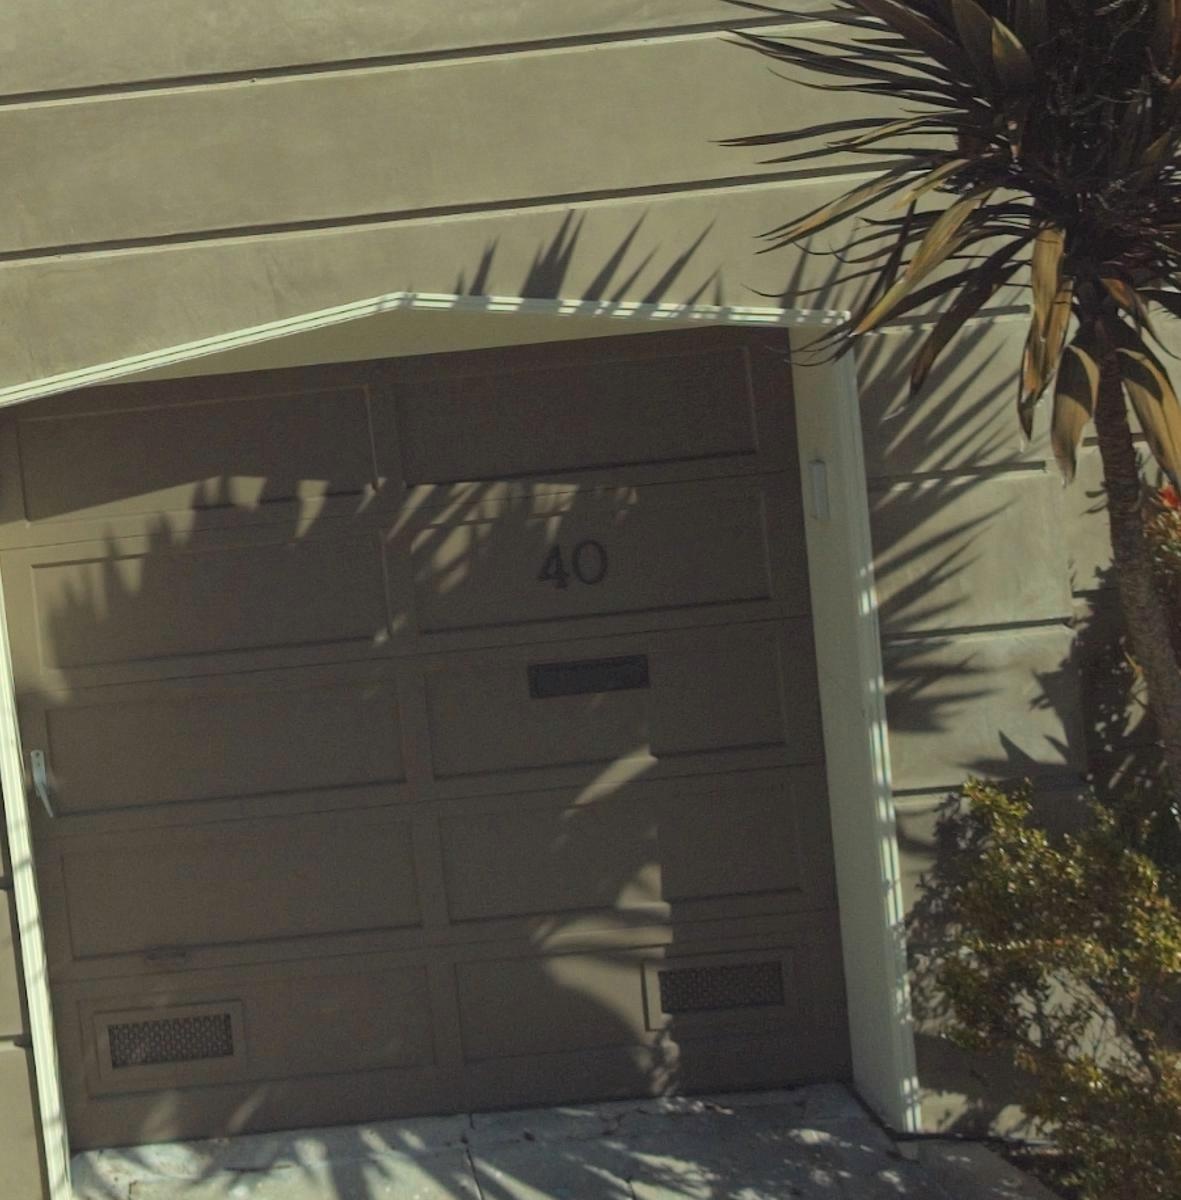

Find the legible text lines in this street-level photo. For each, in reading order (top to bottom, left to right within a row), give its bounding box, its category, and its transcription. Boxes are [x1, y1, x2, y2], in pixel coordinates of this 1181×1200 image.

[529, 534, 613, 595] StreetNumber: 40